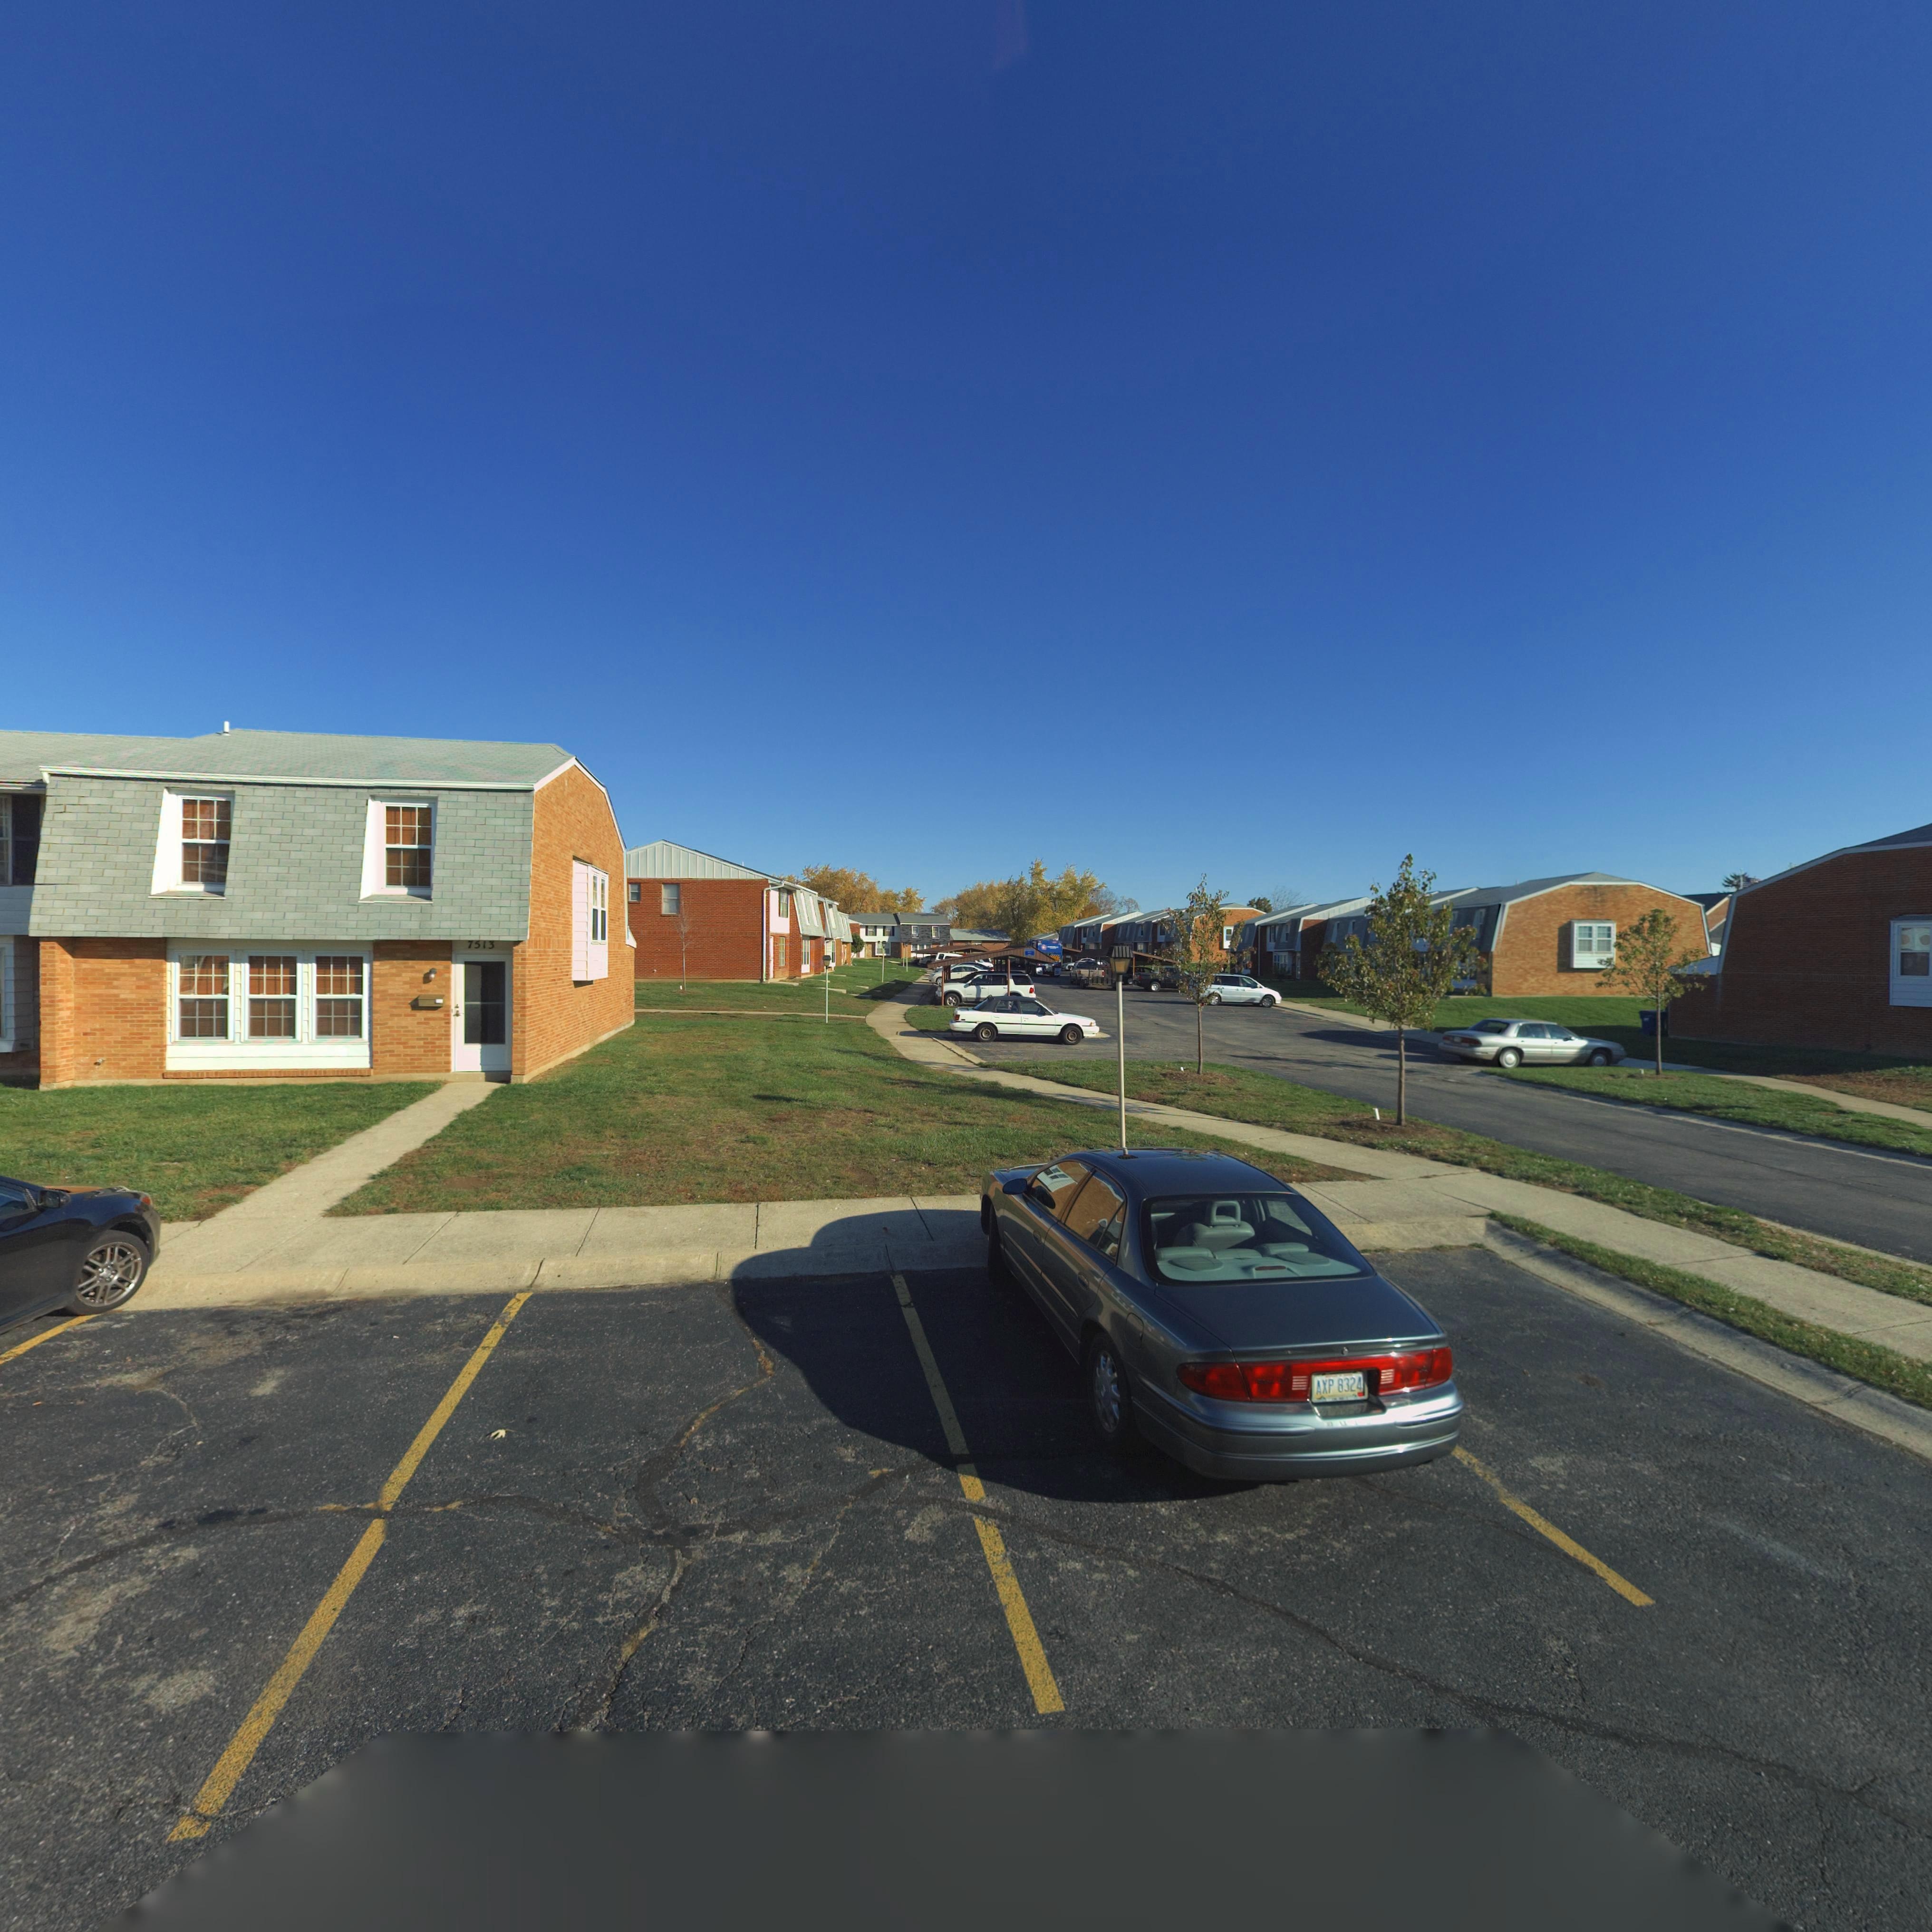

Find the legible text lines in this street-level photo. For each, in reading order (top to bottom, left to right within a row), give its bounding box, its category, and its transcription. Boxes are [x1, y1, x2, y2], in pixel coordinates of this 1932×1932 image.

[467, 940, 495, 949] StreetNumber: 7513